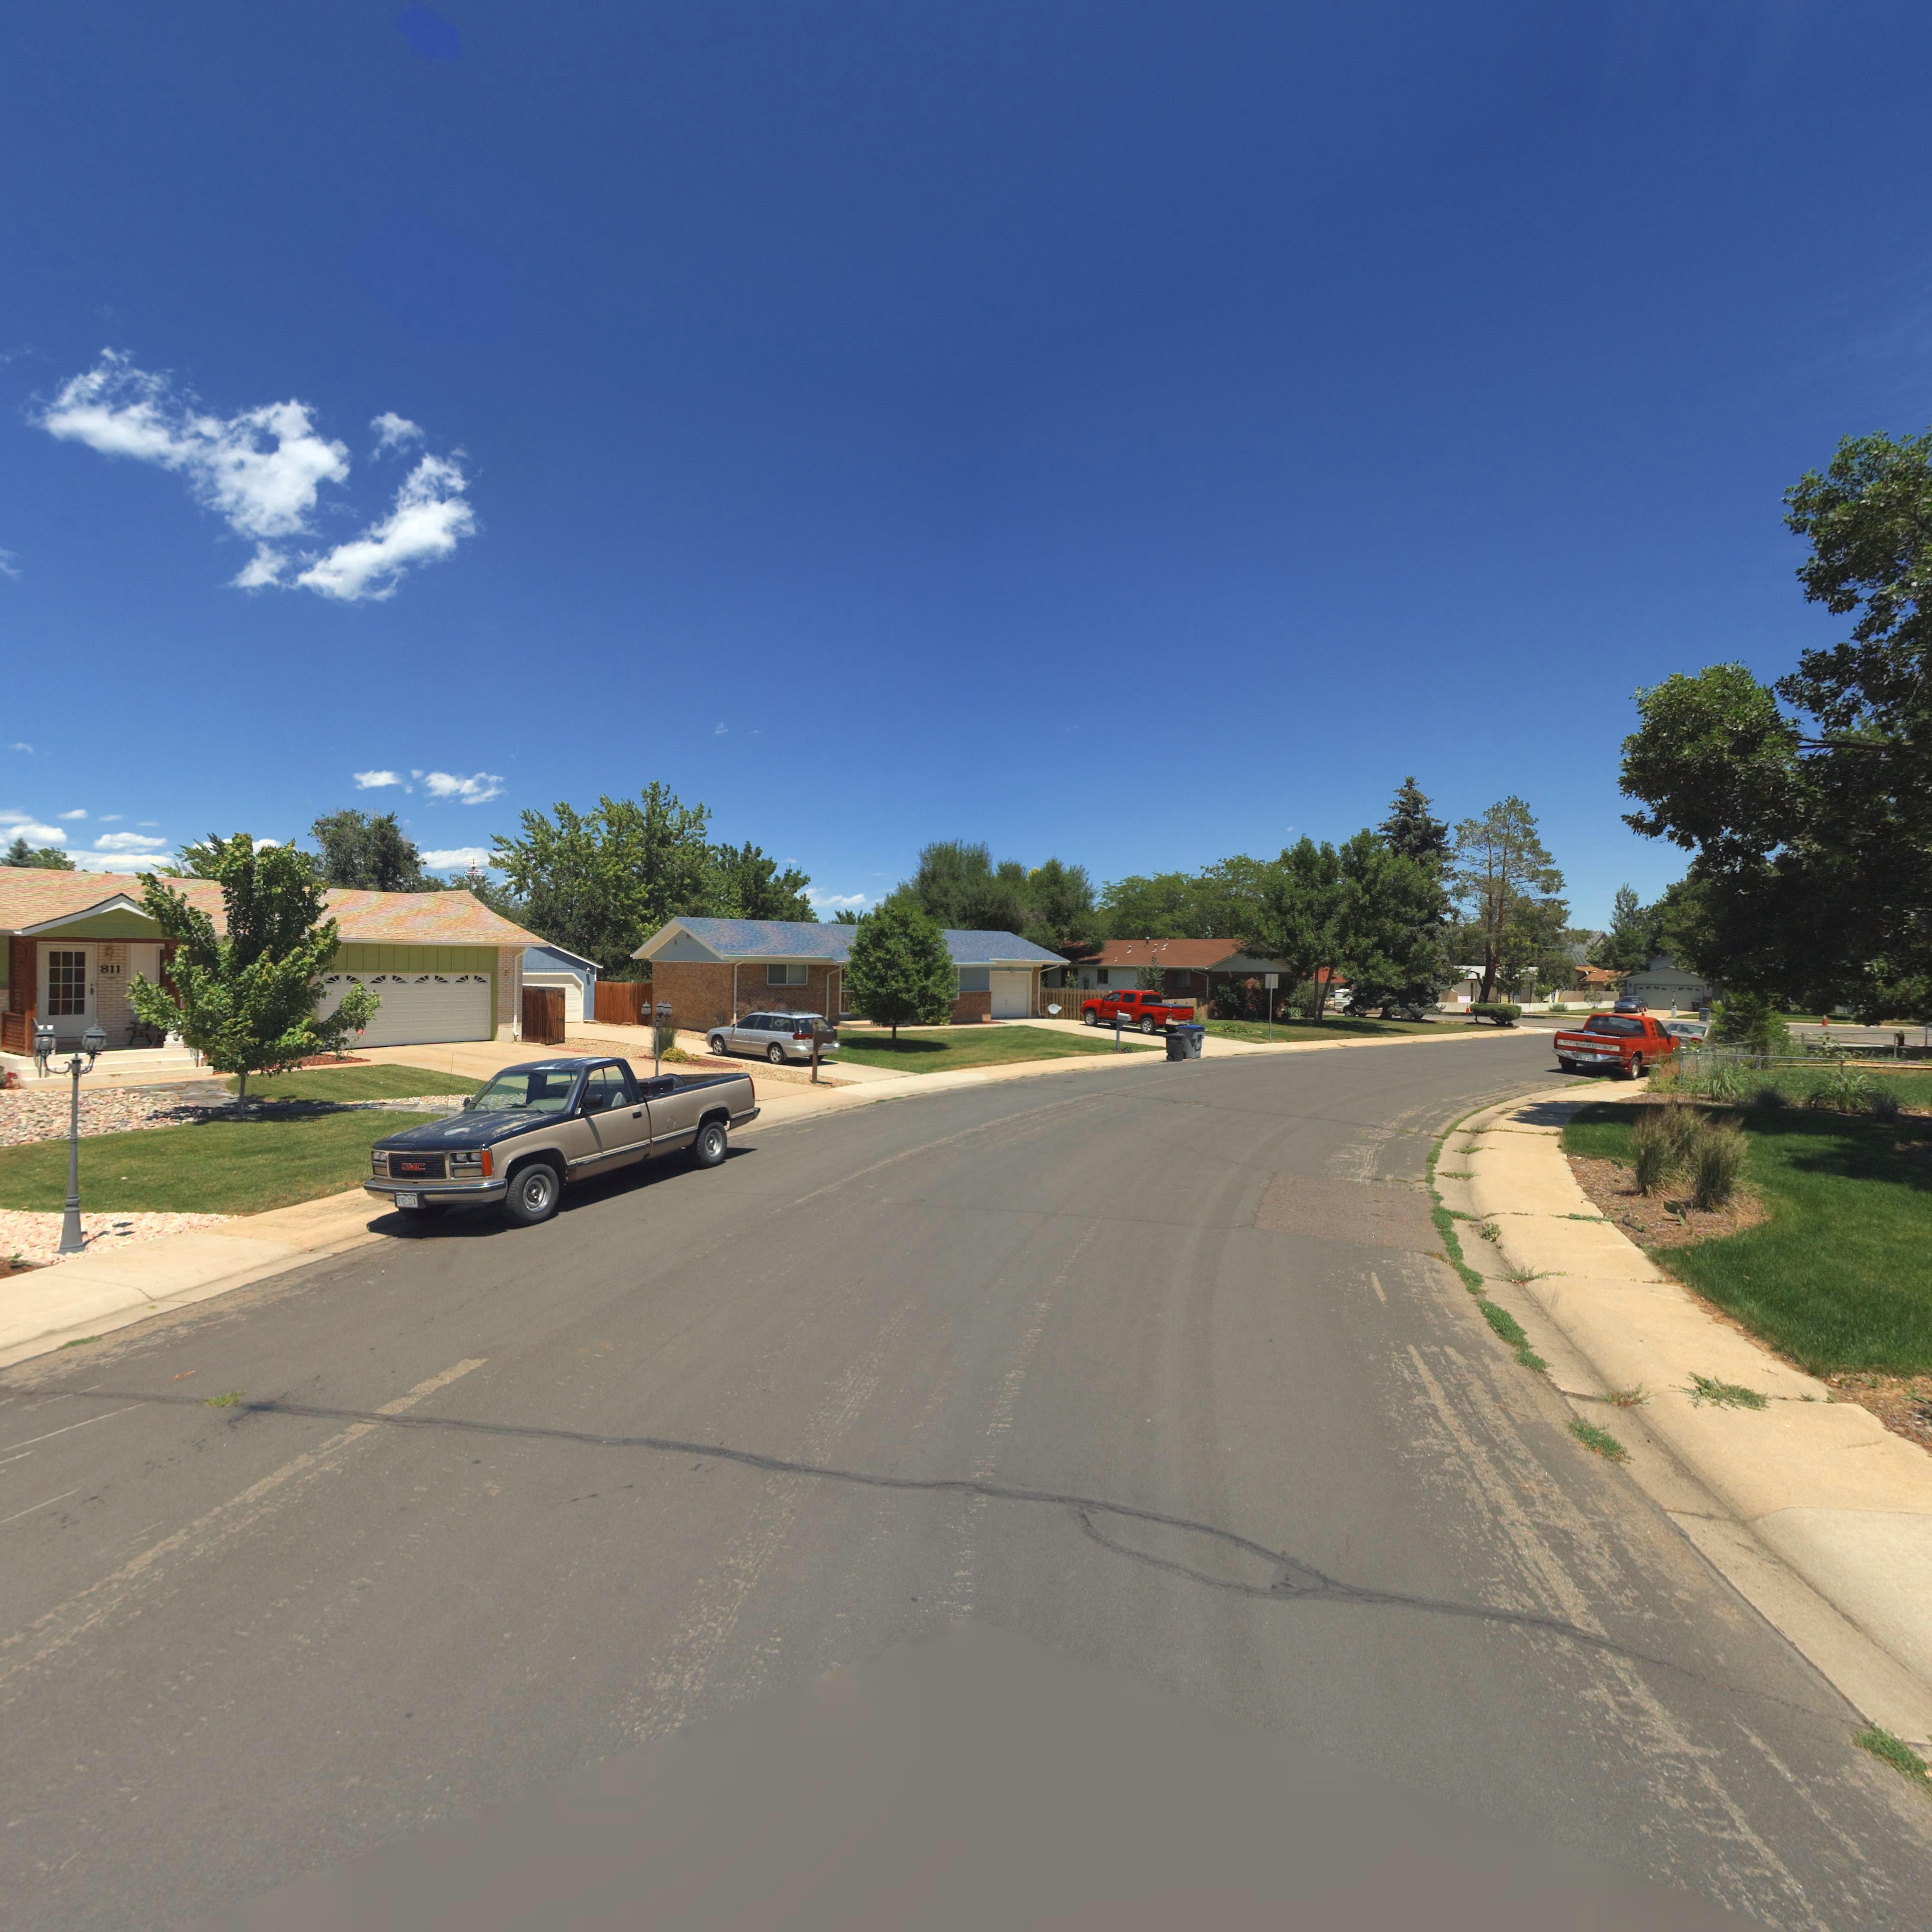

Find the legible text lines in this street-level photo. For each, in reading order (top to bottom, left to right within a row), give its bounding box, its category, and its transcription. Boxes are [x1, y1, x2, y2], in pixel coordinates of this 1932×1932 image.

[99, 964, 120, 974] StreetNumber: 811